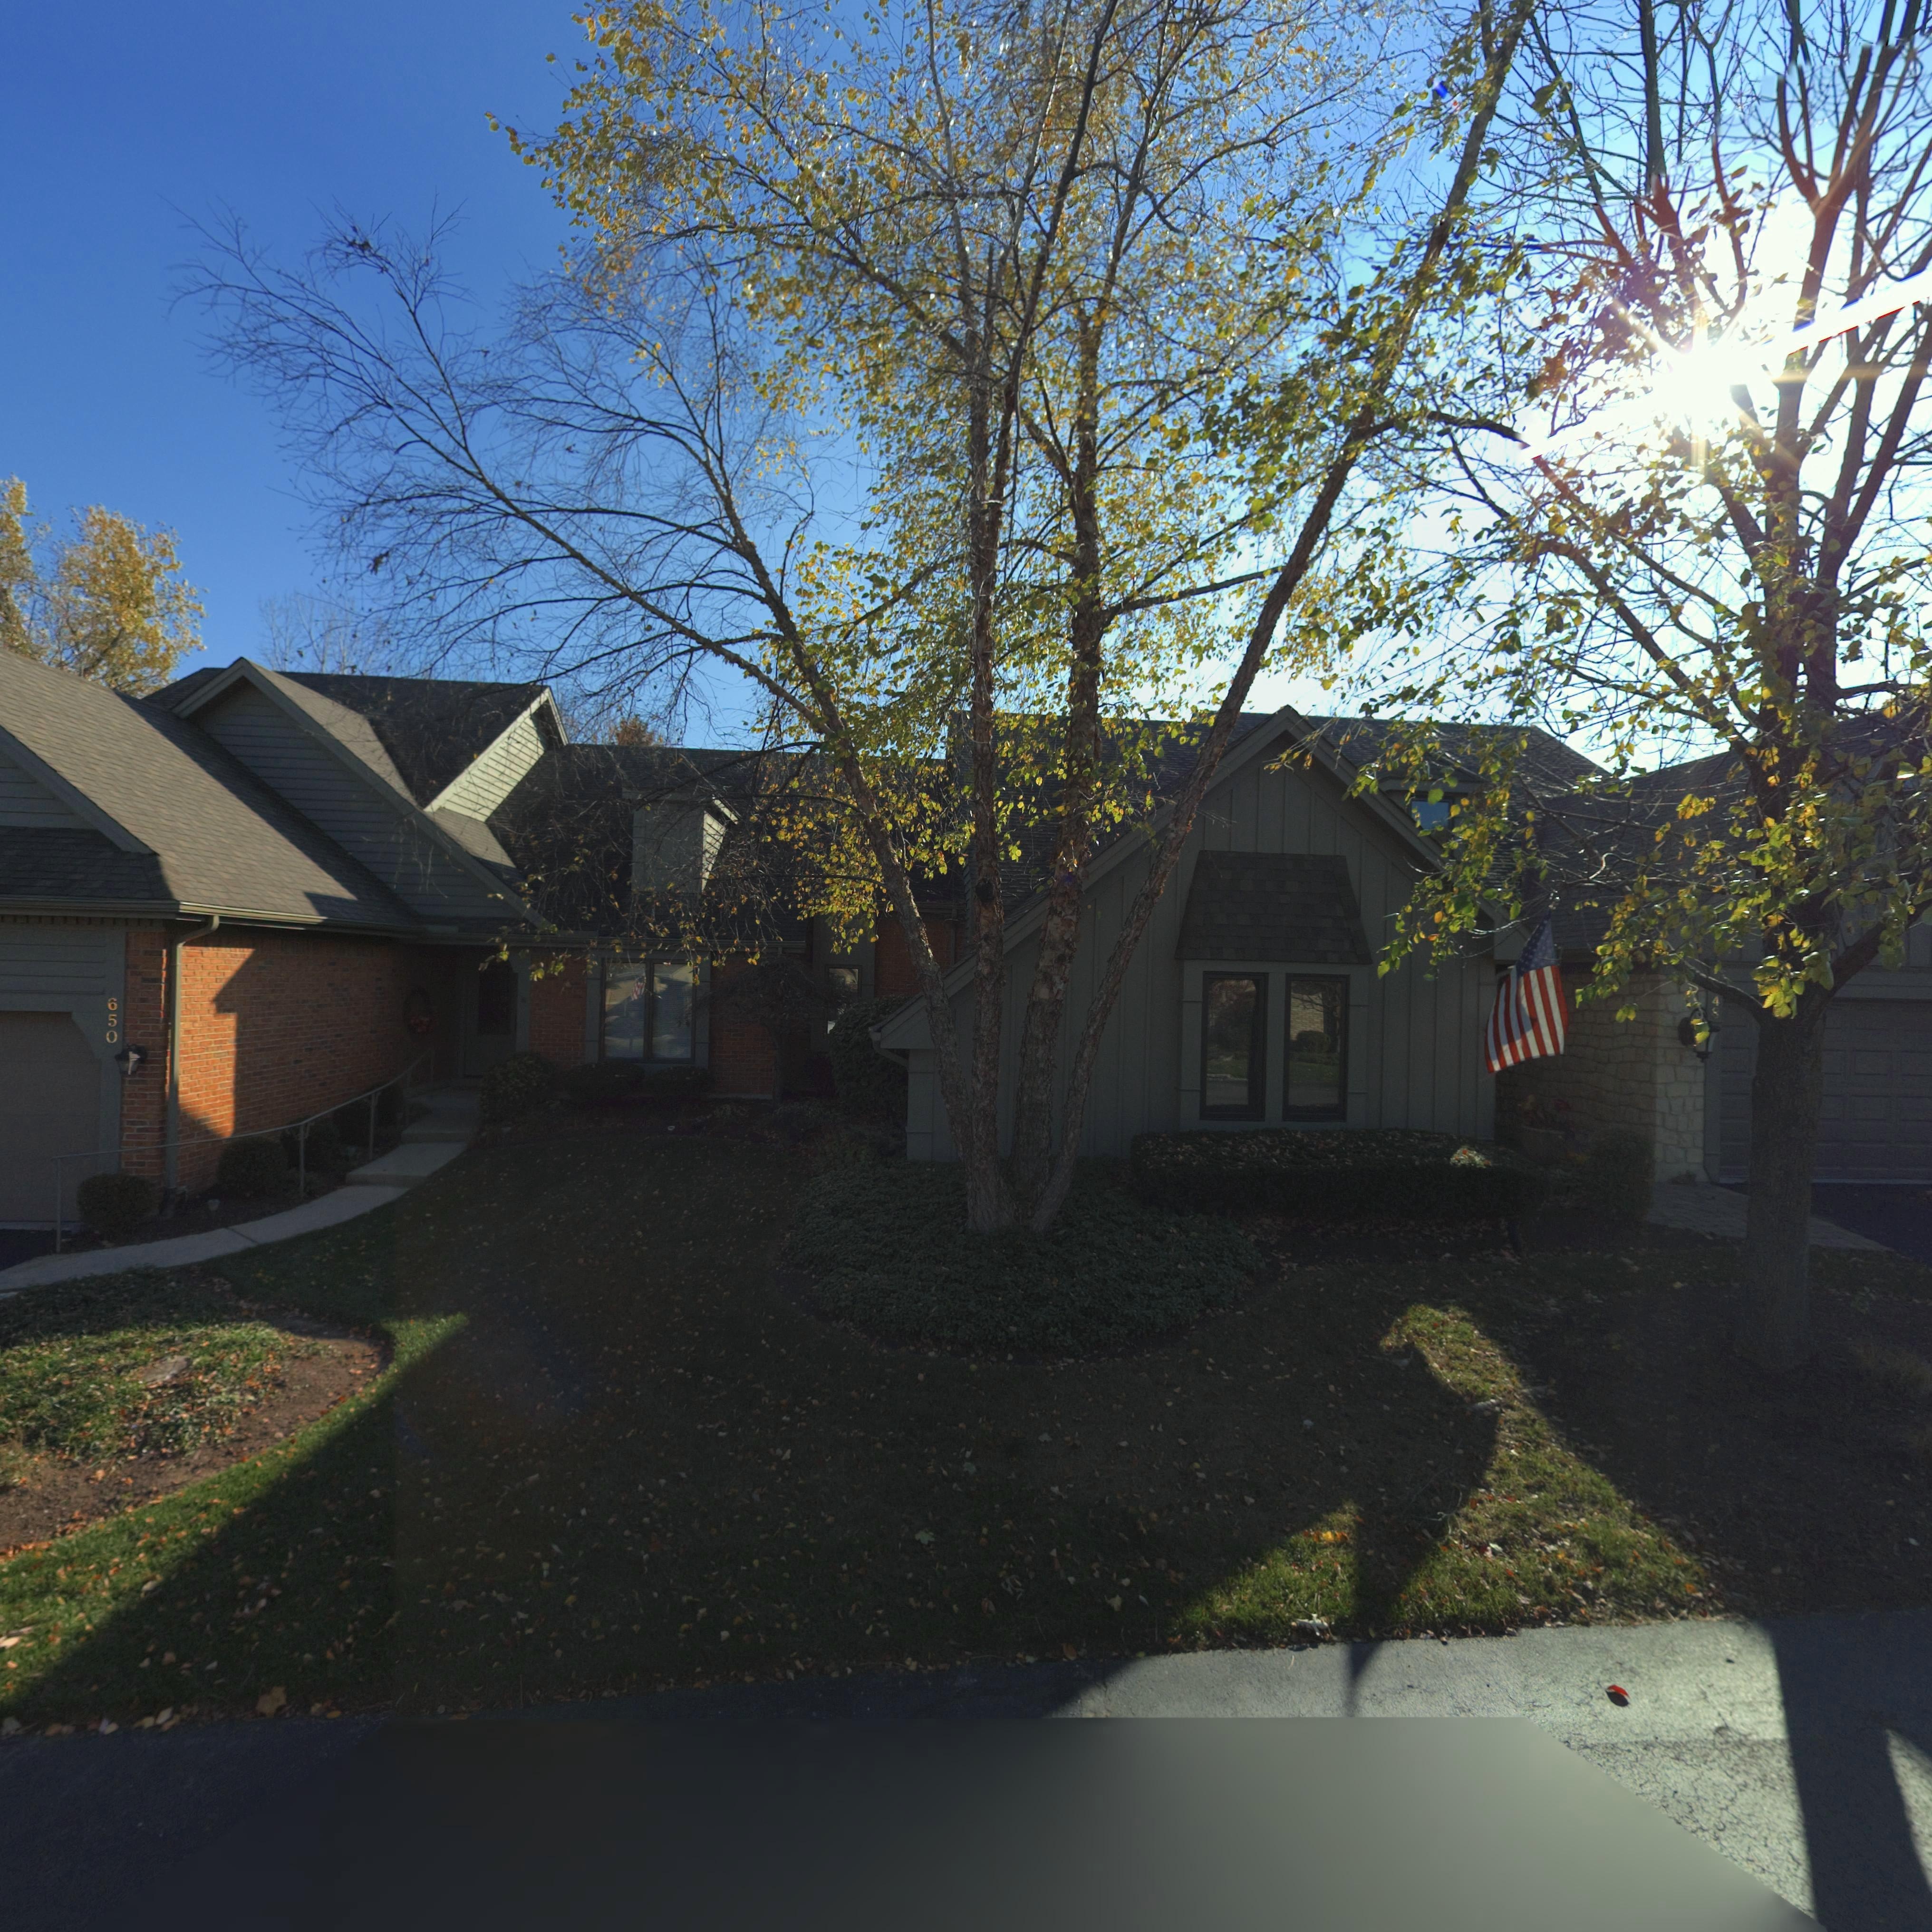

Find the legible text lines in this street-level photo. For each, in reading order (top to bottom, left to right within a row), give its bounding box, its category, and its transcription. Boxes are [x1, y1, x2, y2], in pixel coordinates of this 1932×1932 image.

[105, 996, 119, 1045] StreetNumber: 650